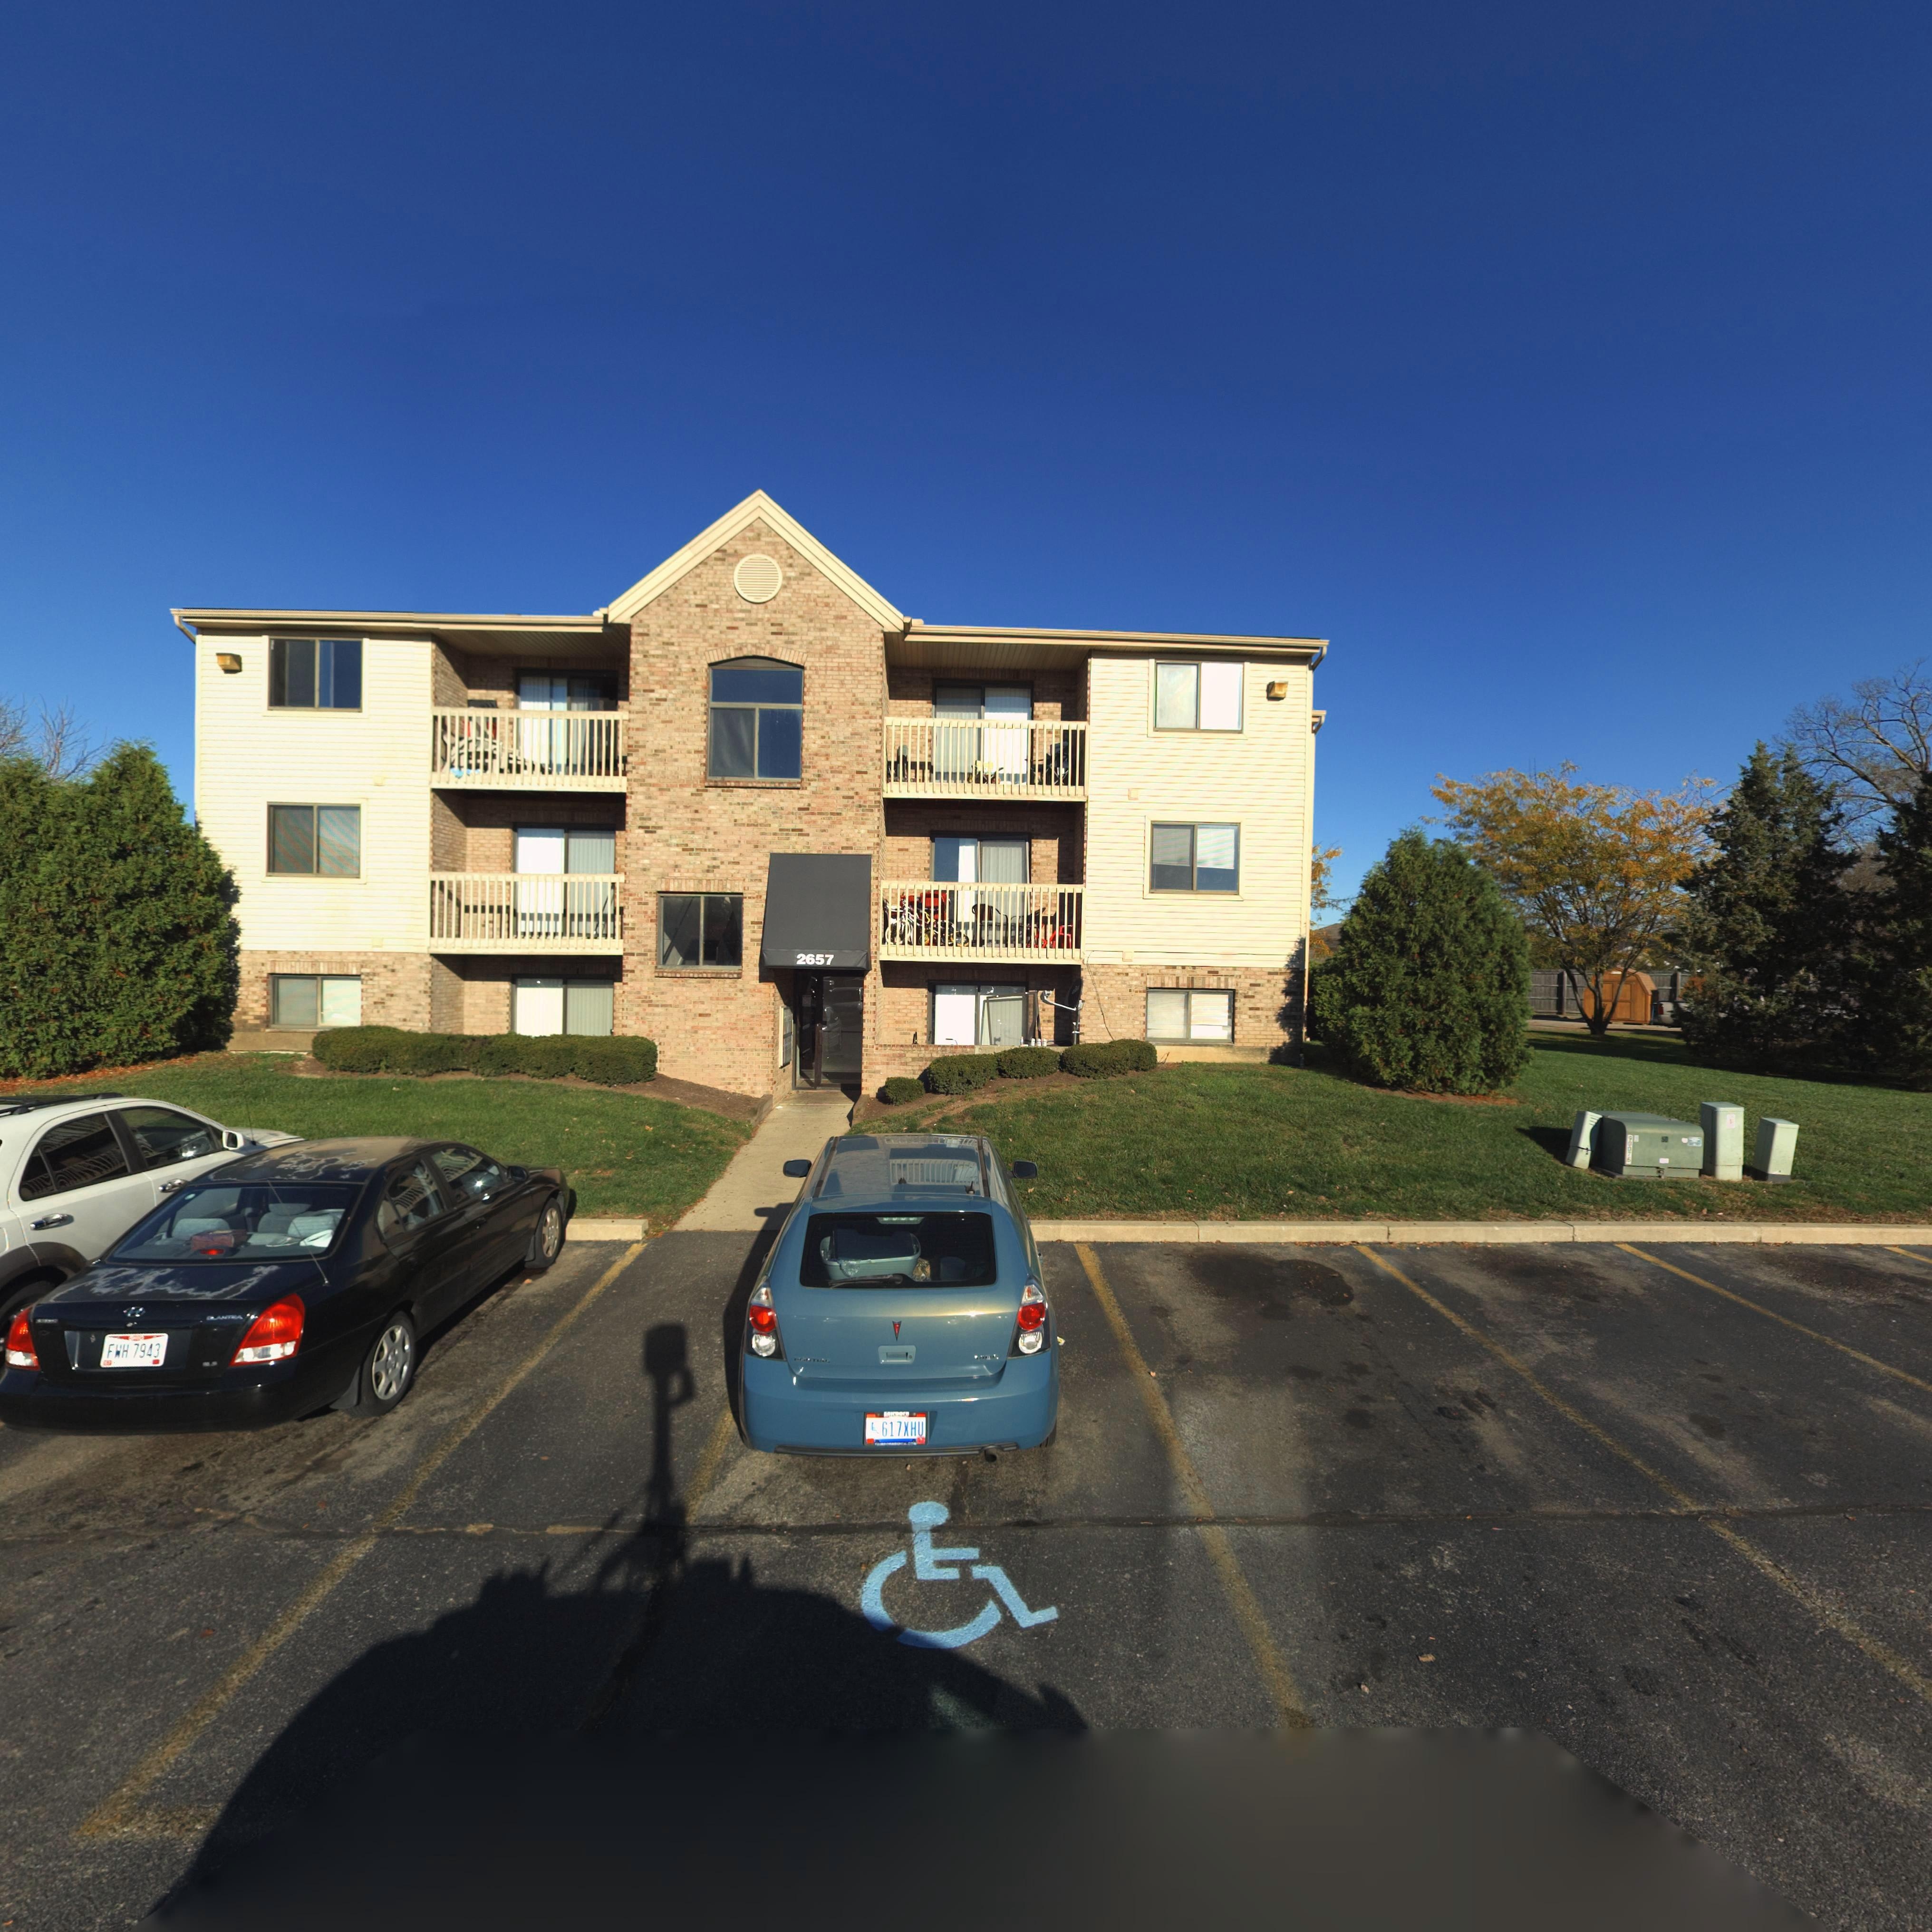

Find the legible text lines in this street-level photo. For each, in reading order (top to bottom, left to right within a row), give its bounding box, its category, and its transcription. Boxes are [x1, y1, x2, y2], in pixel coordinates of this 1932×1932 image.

[796, 953, 834, 966] StreetNumber: 2657